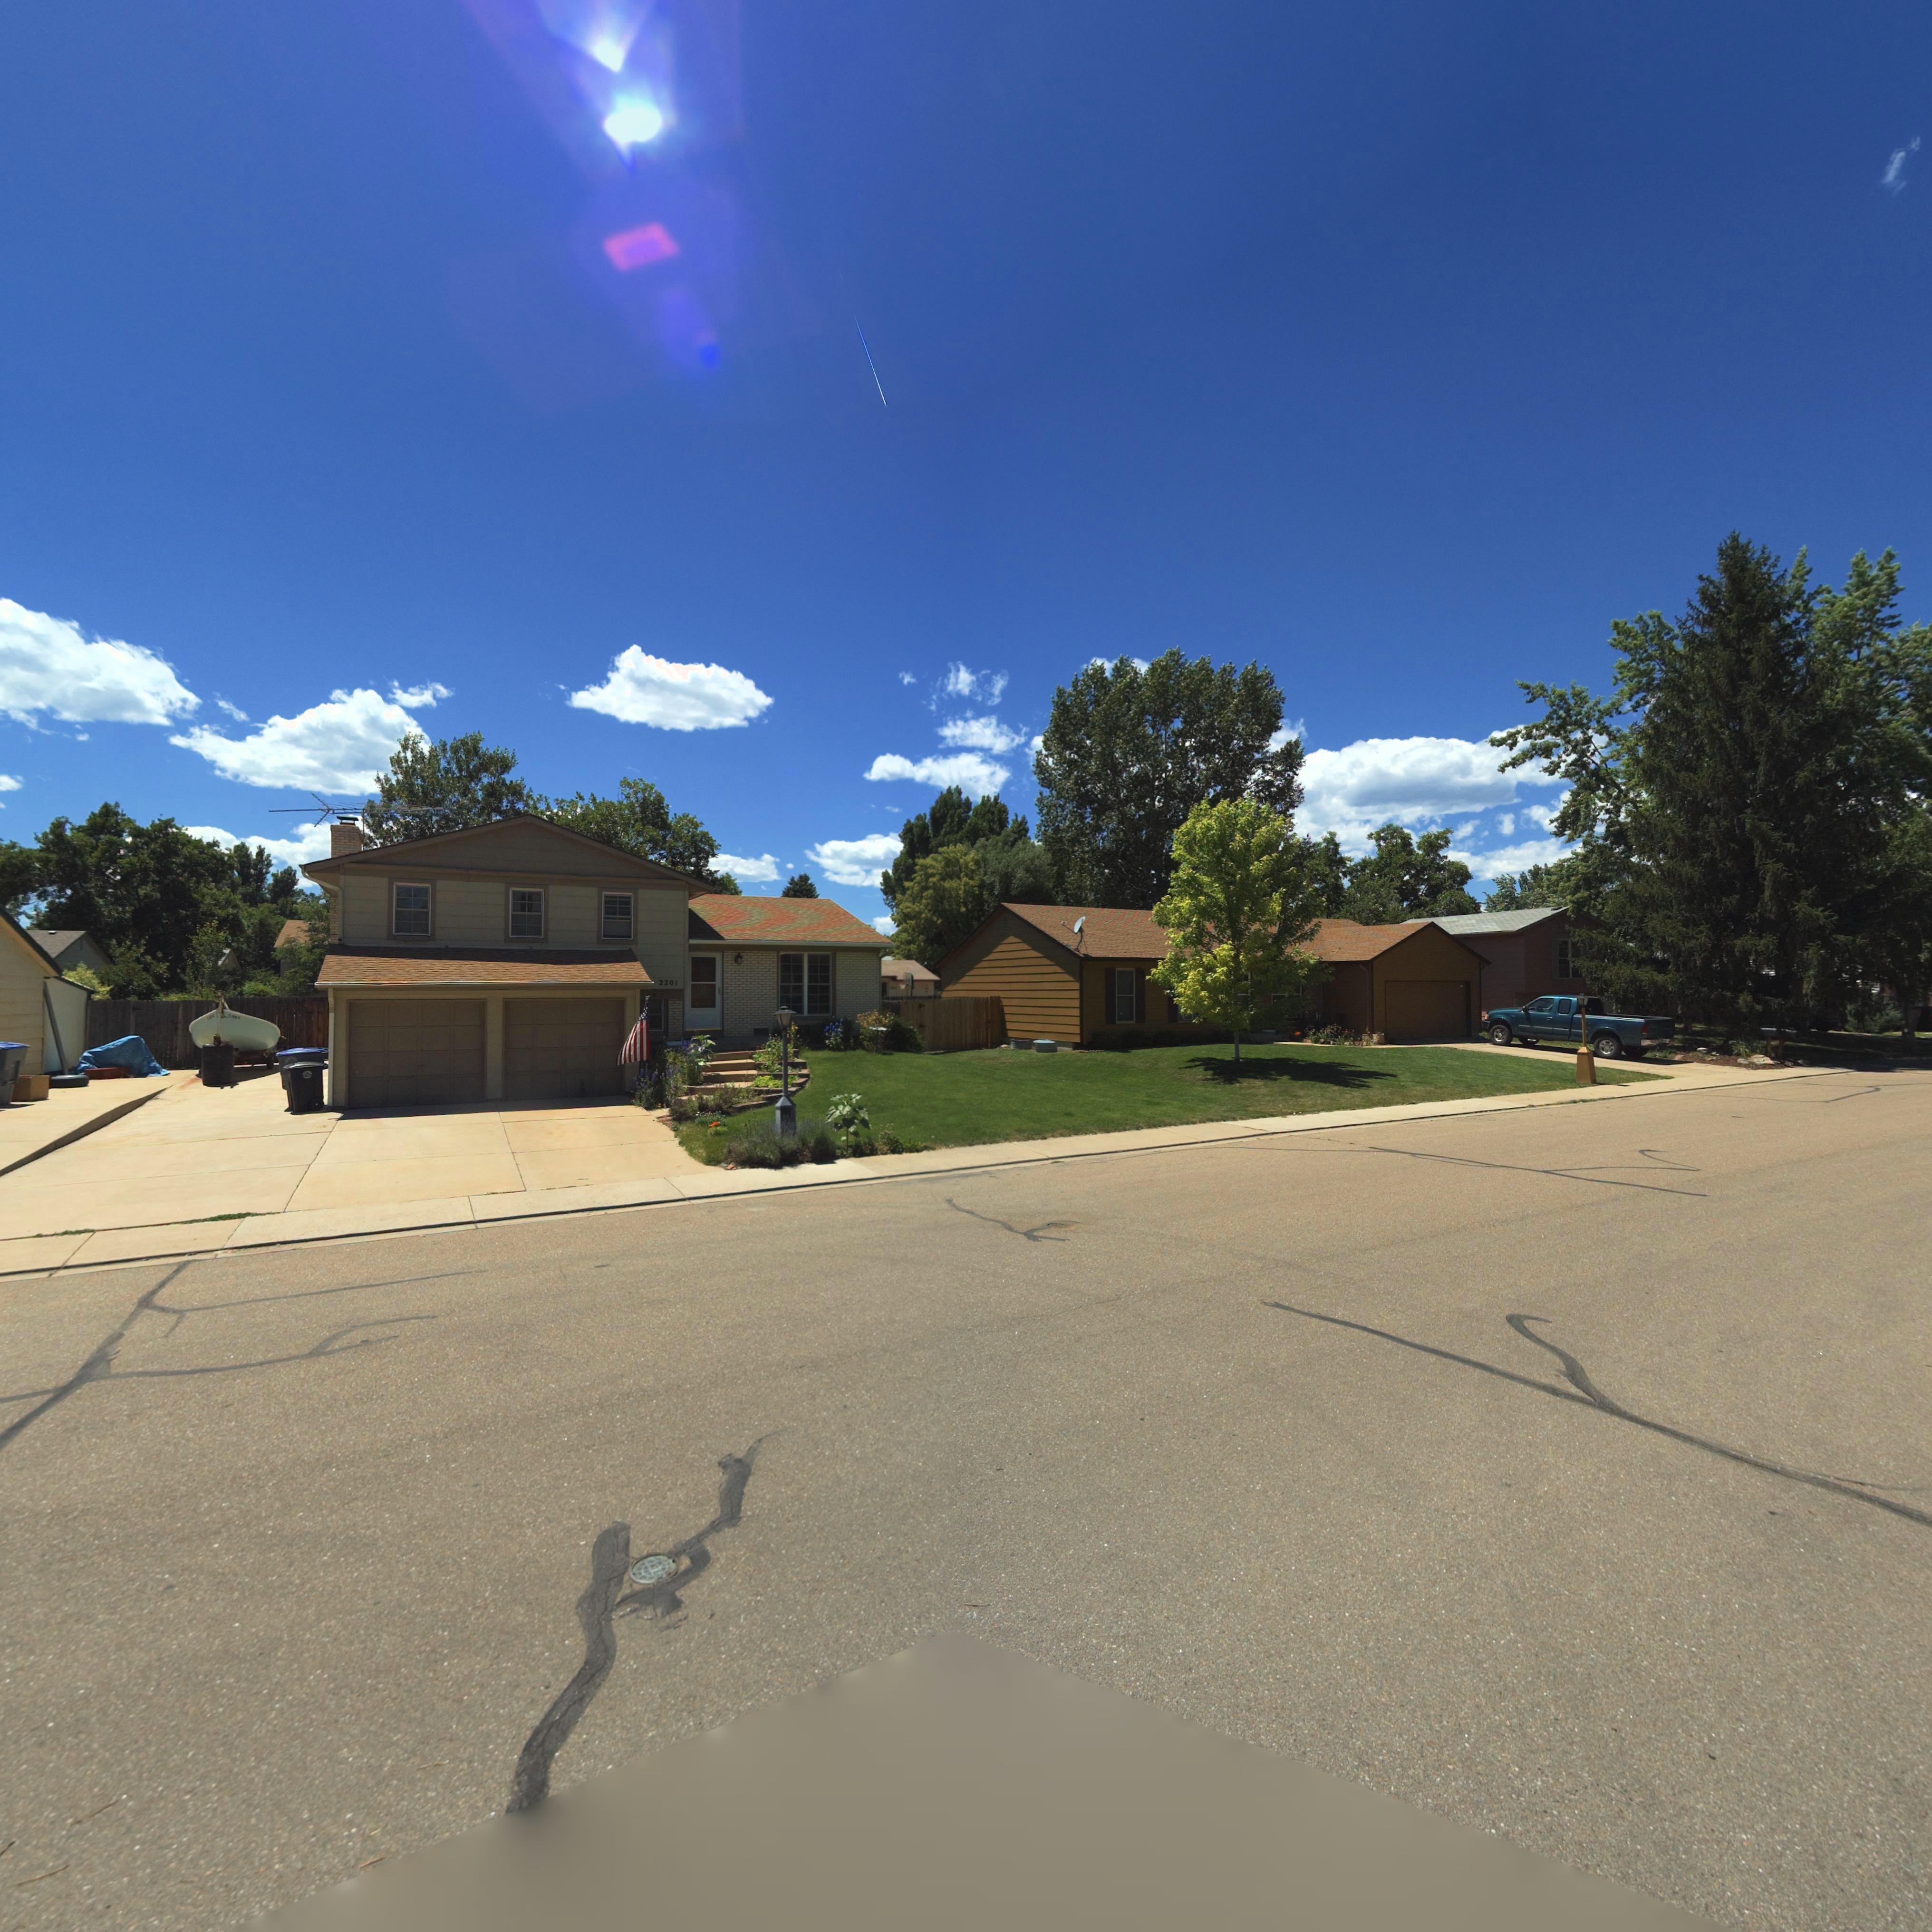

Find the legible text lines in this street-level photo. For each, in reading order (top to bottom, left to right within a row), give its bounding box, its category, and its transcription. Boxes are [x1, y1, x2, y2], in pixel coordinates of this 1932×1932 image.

[658, 979, 678, 985] StreetNumber: 2201